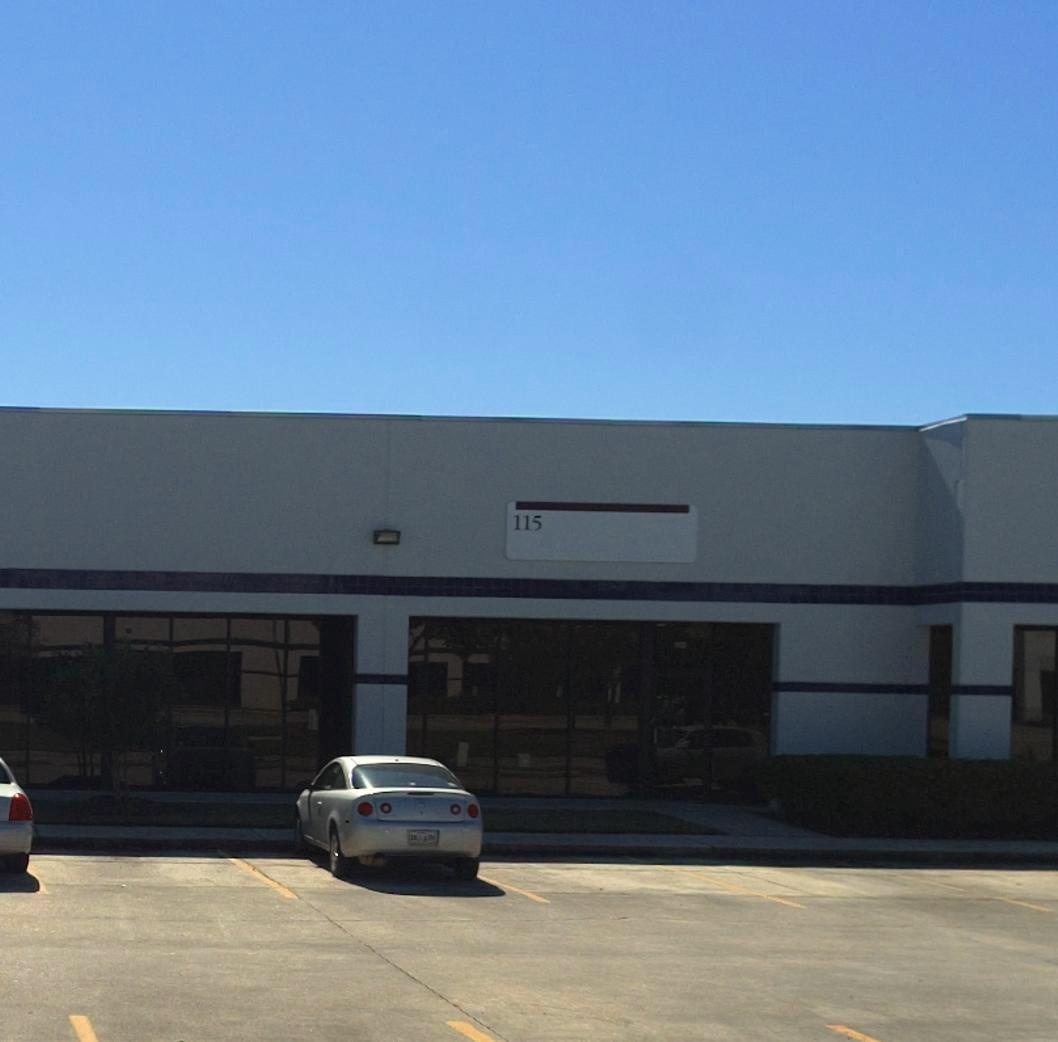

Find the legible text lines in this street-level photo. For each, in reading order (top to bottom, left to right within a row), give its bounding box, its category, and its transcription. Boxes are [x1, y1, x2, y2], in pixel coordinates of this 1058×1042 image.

[512, 514, 542, 531] StreetNumber: 115